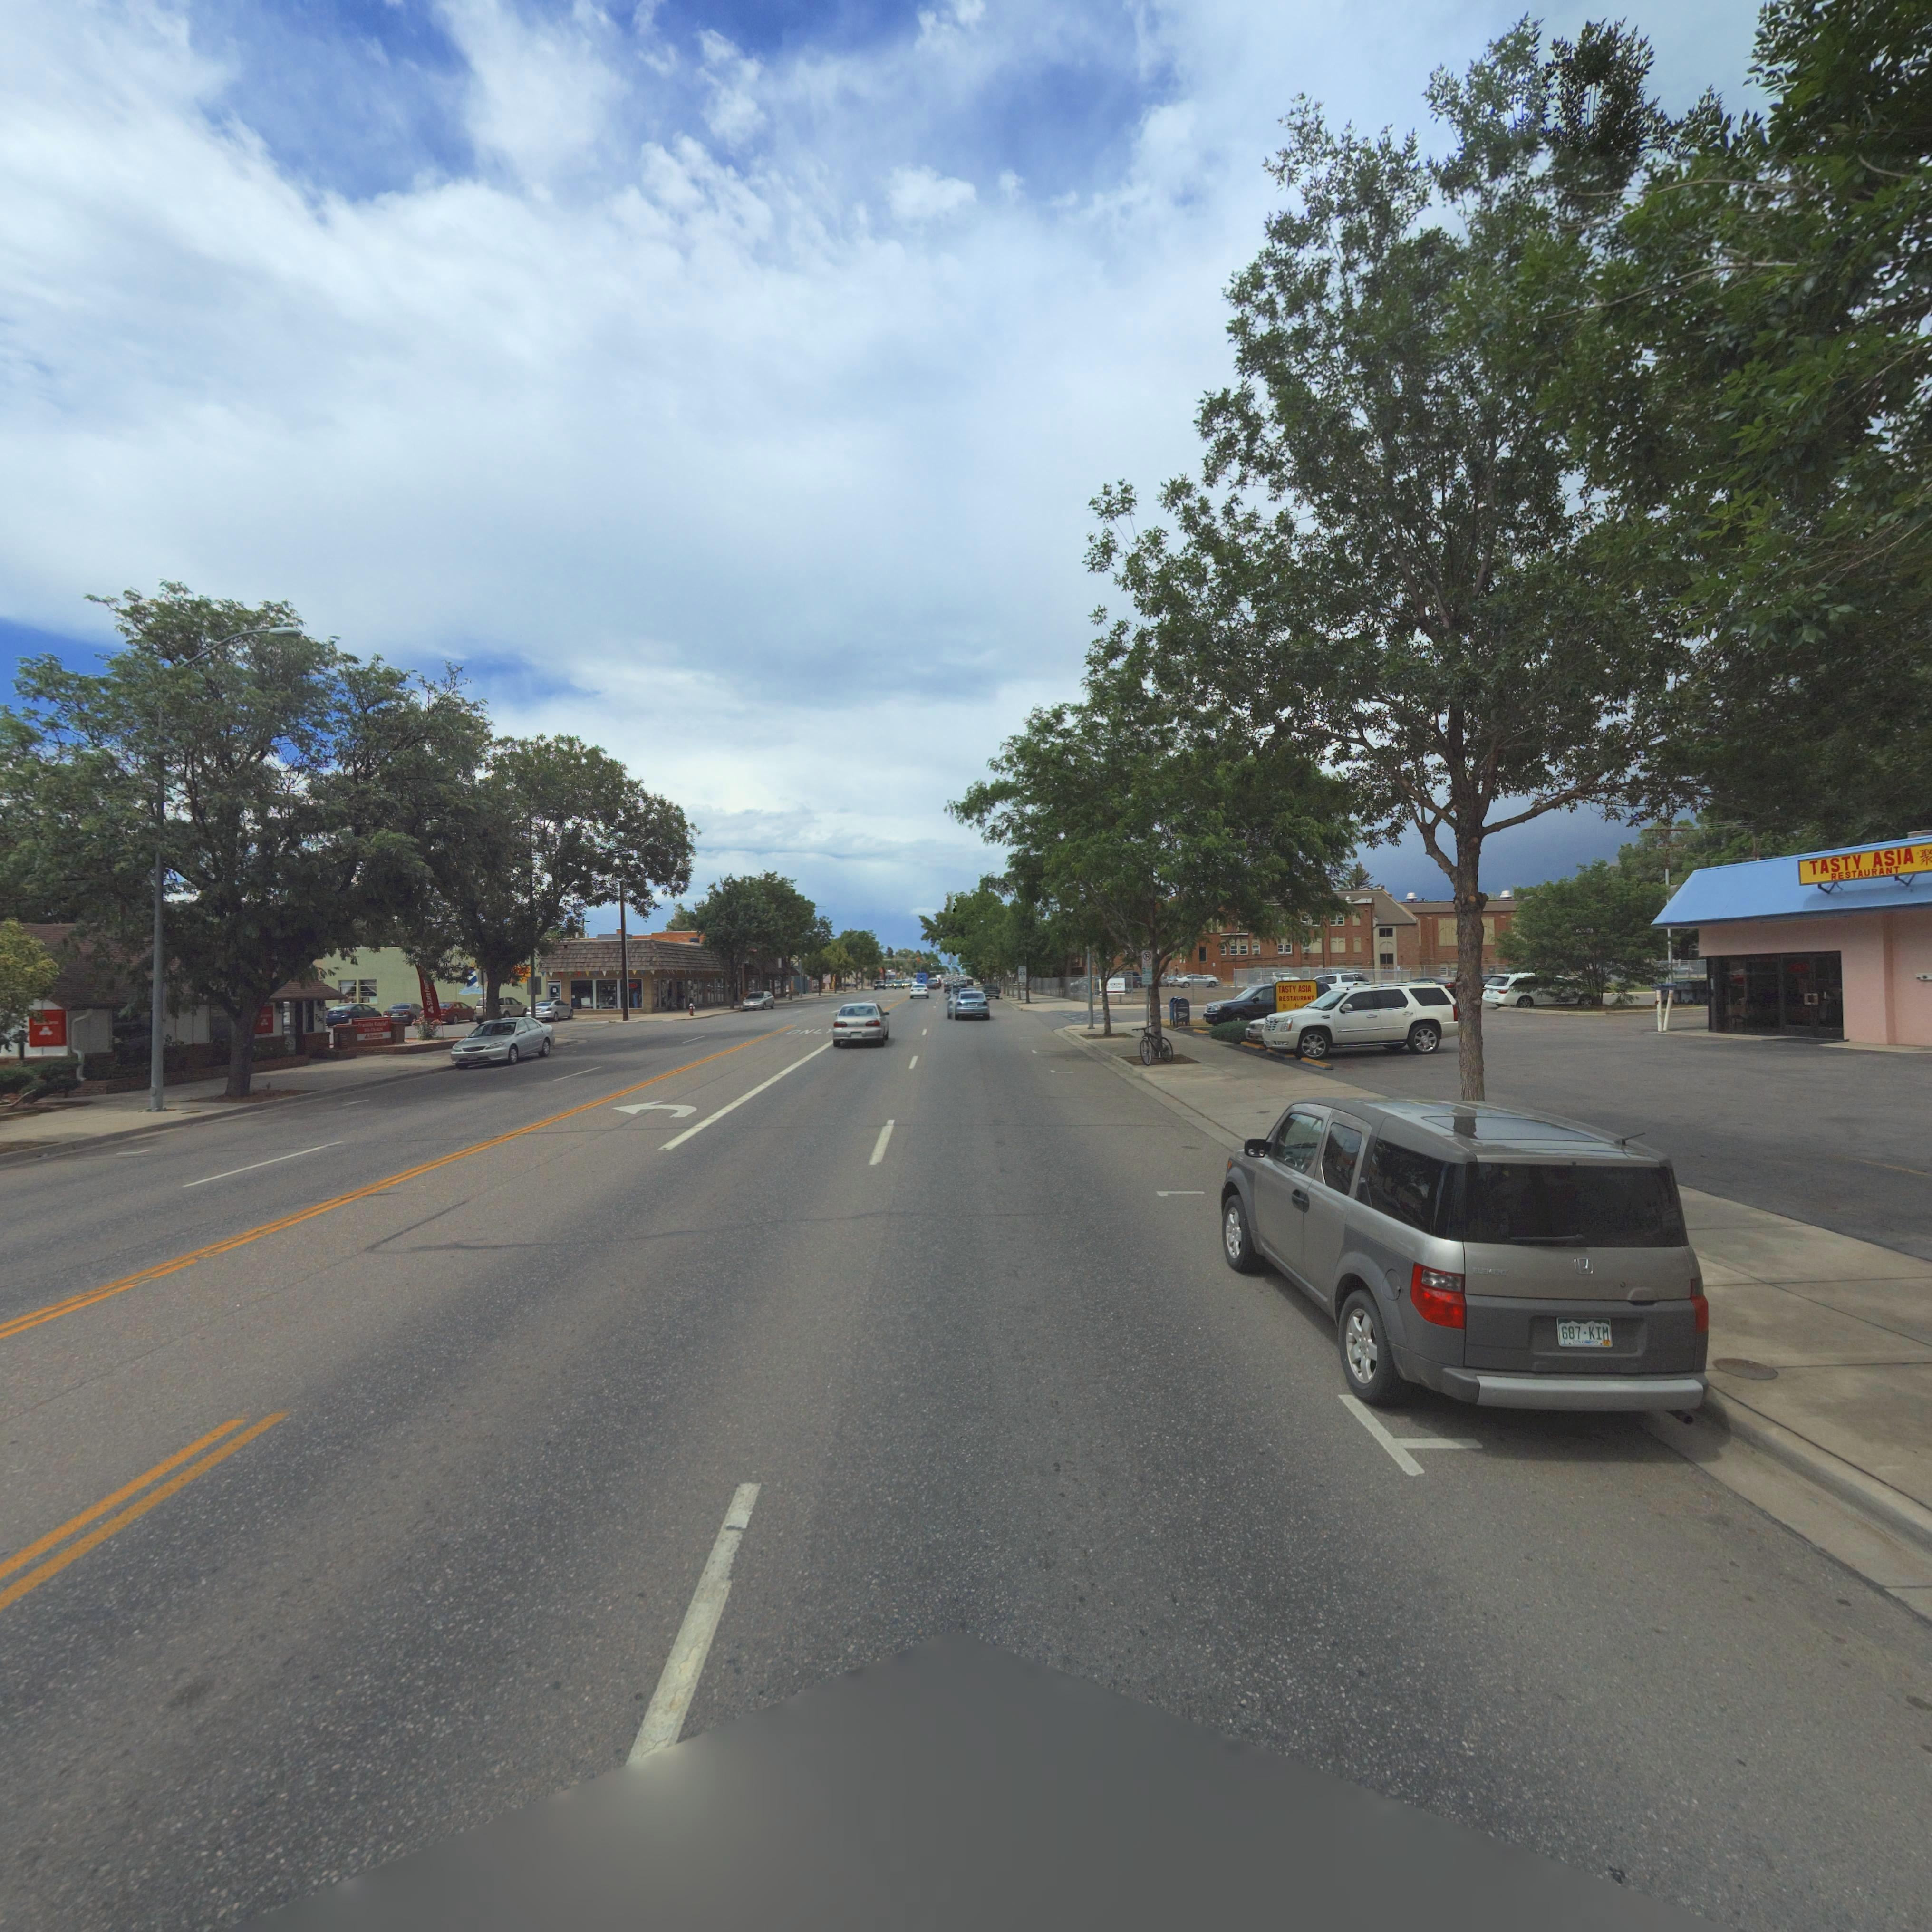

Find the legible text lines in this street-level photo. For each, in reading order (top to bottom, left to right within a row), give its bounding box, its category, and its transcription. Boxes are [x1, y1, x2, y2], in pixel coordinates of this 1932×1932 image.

[1808, 847, 1914, 875] BusinessName: TASTY ASIA
[1831, 866, 1900, 880] BusinessName: RESTAURANT
[424, 984, 433, 1006] BusinessName: StateFar
[1277, 985, 1311, 993] BusinessName: TASTY ASIA
[1278, 995, 1314, 1001] BusinessName: RESTAURANT
[314, 1014, 324, 1024] StreetNumber: 735